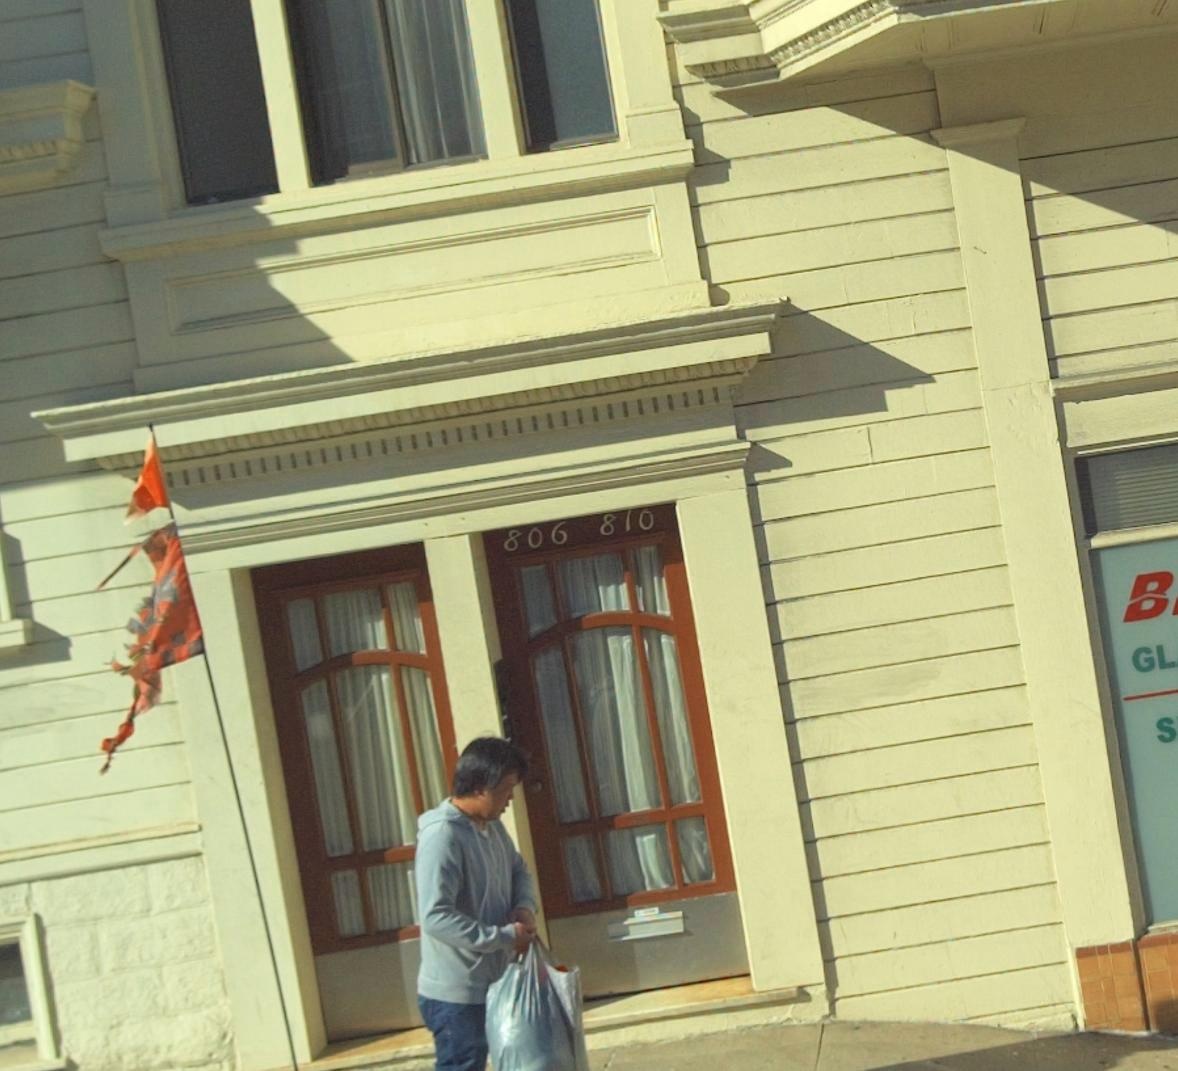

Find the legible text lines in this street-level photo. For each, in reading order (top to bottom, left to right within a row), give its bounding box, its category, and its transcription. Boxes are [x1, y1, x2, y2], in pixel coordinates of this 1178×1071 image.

[501, 519, 571, 553] StreetNumber: 806
[596, 506, 656, 538] StreetNumber: 810
[1120, 569, 1175, 624] None: B
[1129, 642, 1177, 674] None: GL
[1155, 714, 1176, 745] None: S